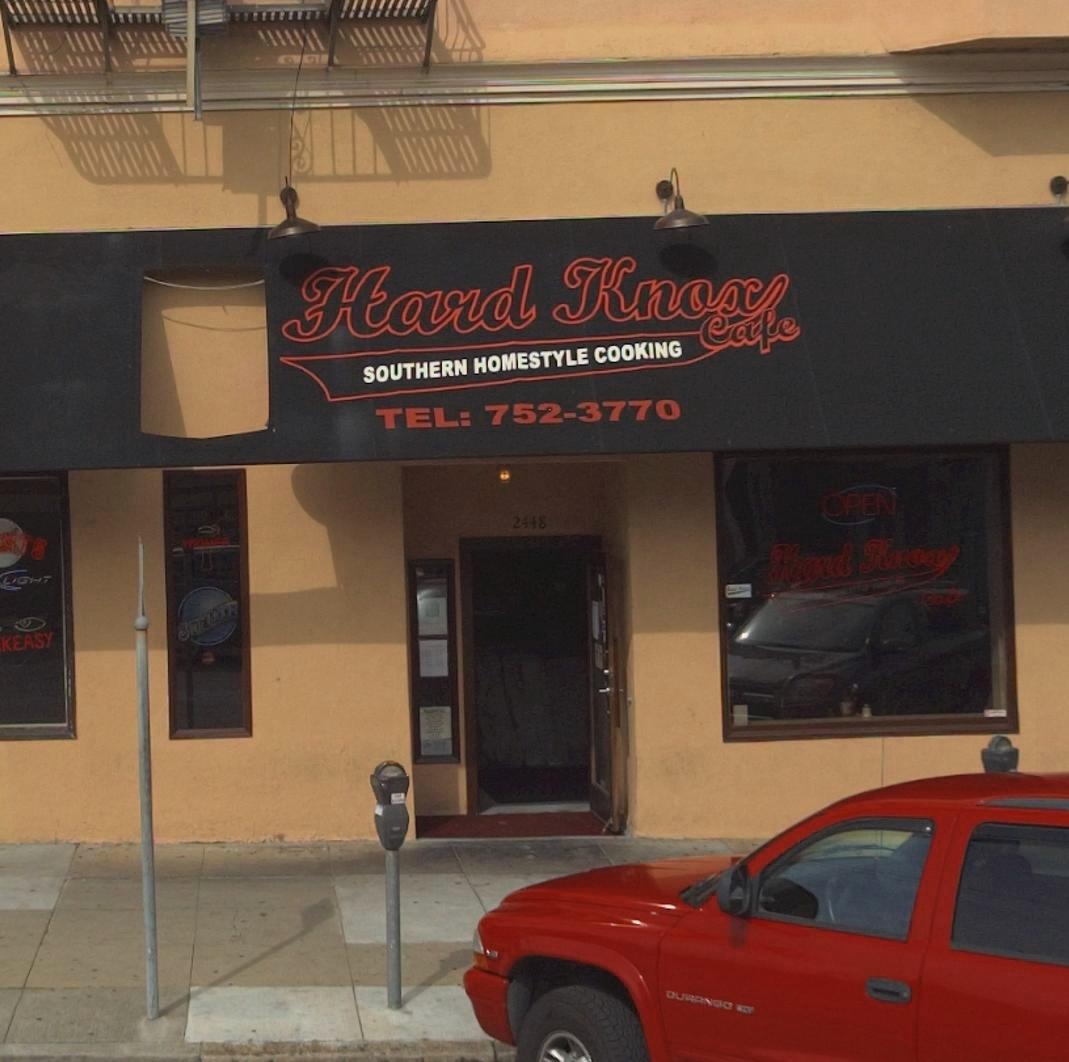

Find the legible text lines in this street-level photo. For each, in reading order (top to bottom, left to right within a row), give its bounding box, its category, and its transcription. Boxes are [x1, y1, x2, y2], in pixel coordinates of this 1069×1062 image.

[278, 255, 763, 344] BusinessName: Hard Knox
[697, 307, 801, 357] BusinessName: Cafe
[361, 339, 684, 385] BusinessName: SOUTHERN HOMESTYLE COOKING
[372, 397, 683, 431] None: TEL: 752-3770
[822, 493, 898, 519] None: OPEN
[511, 515, 547, 529] StreetNumber: 2448
[181, 537, 232, 549] None: WOMER
[764, 538, 947, 587] BusinessName: Hard Knox
[1, 575, 53, 586] None: LIGHT
[918, 586, 966, 610] BusinessName: Cafe
[1, 631, 53, 654] None: KEASY